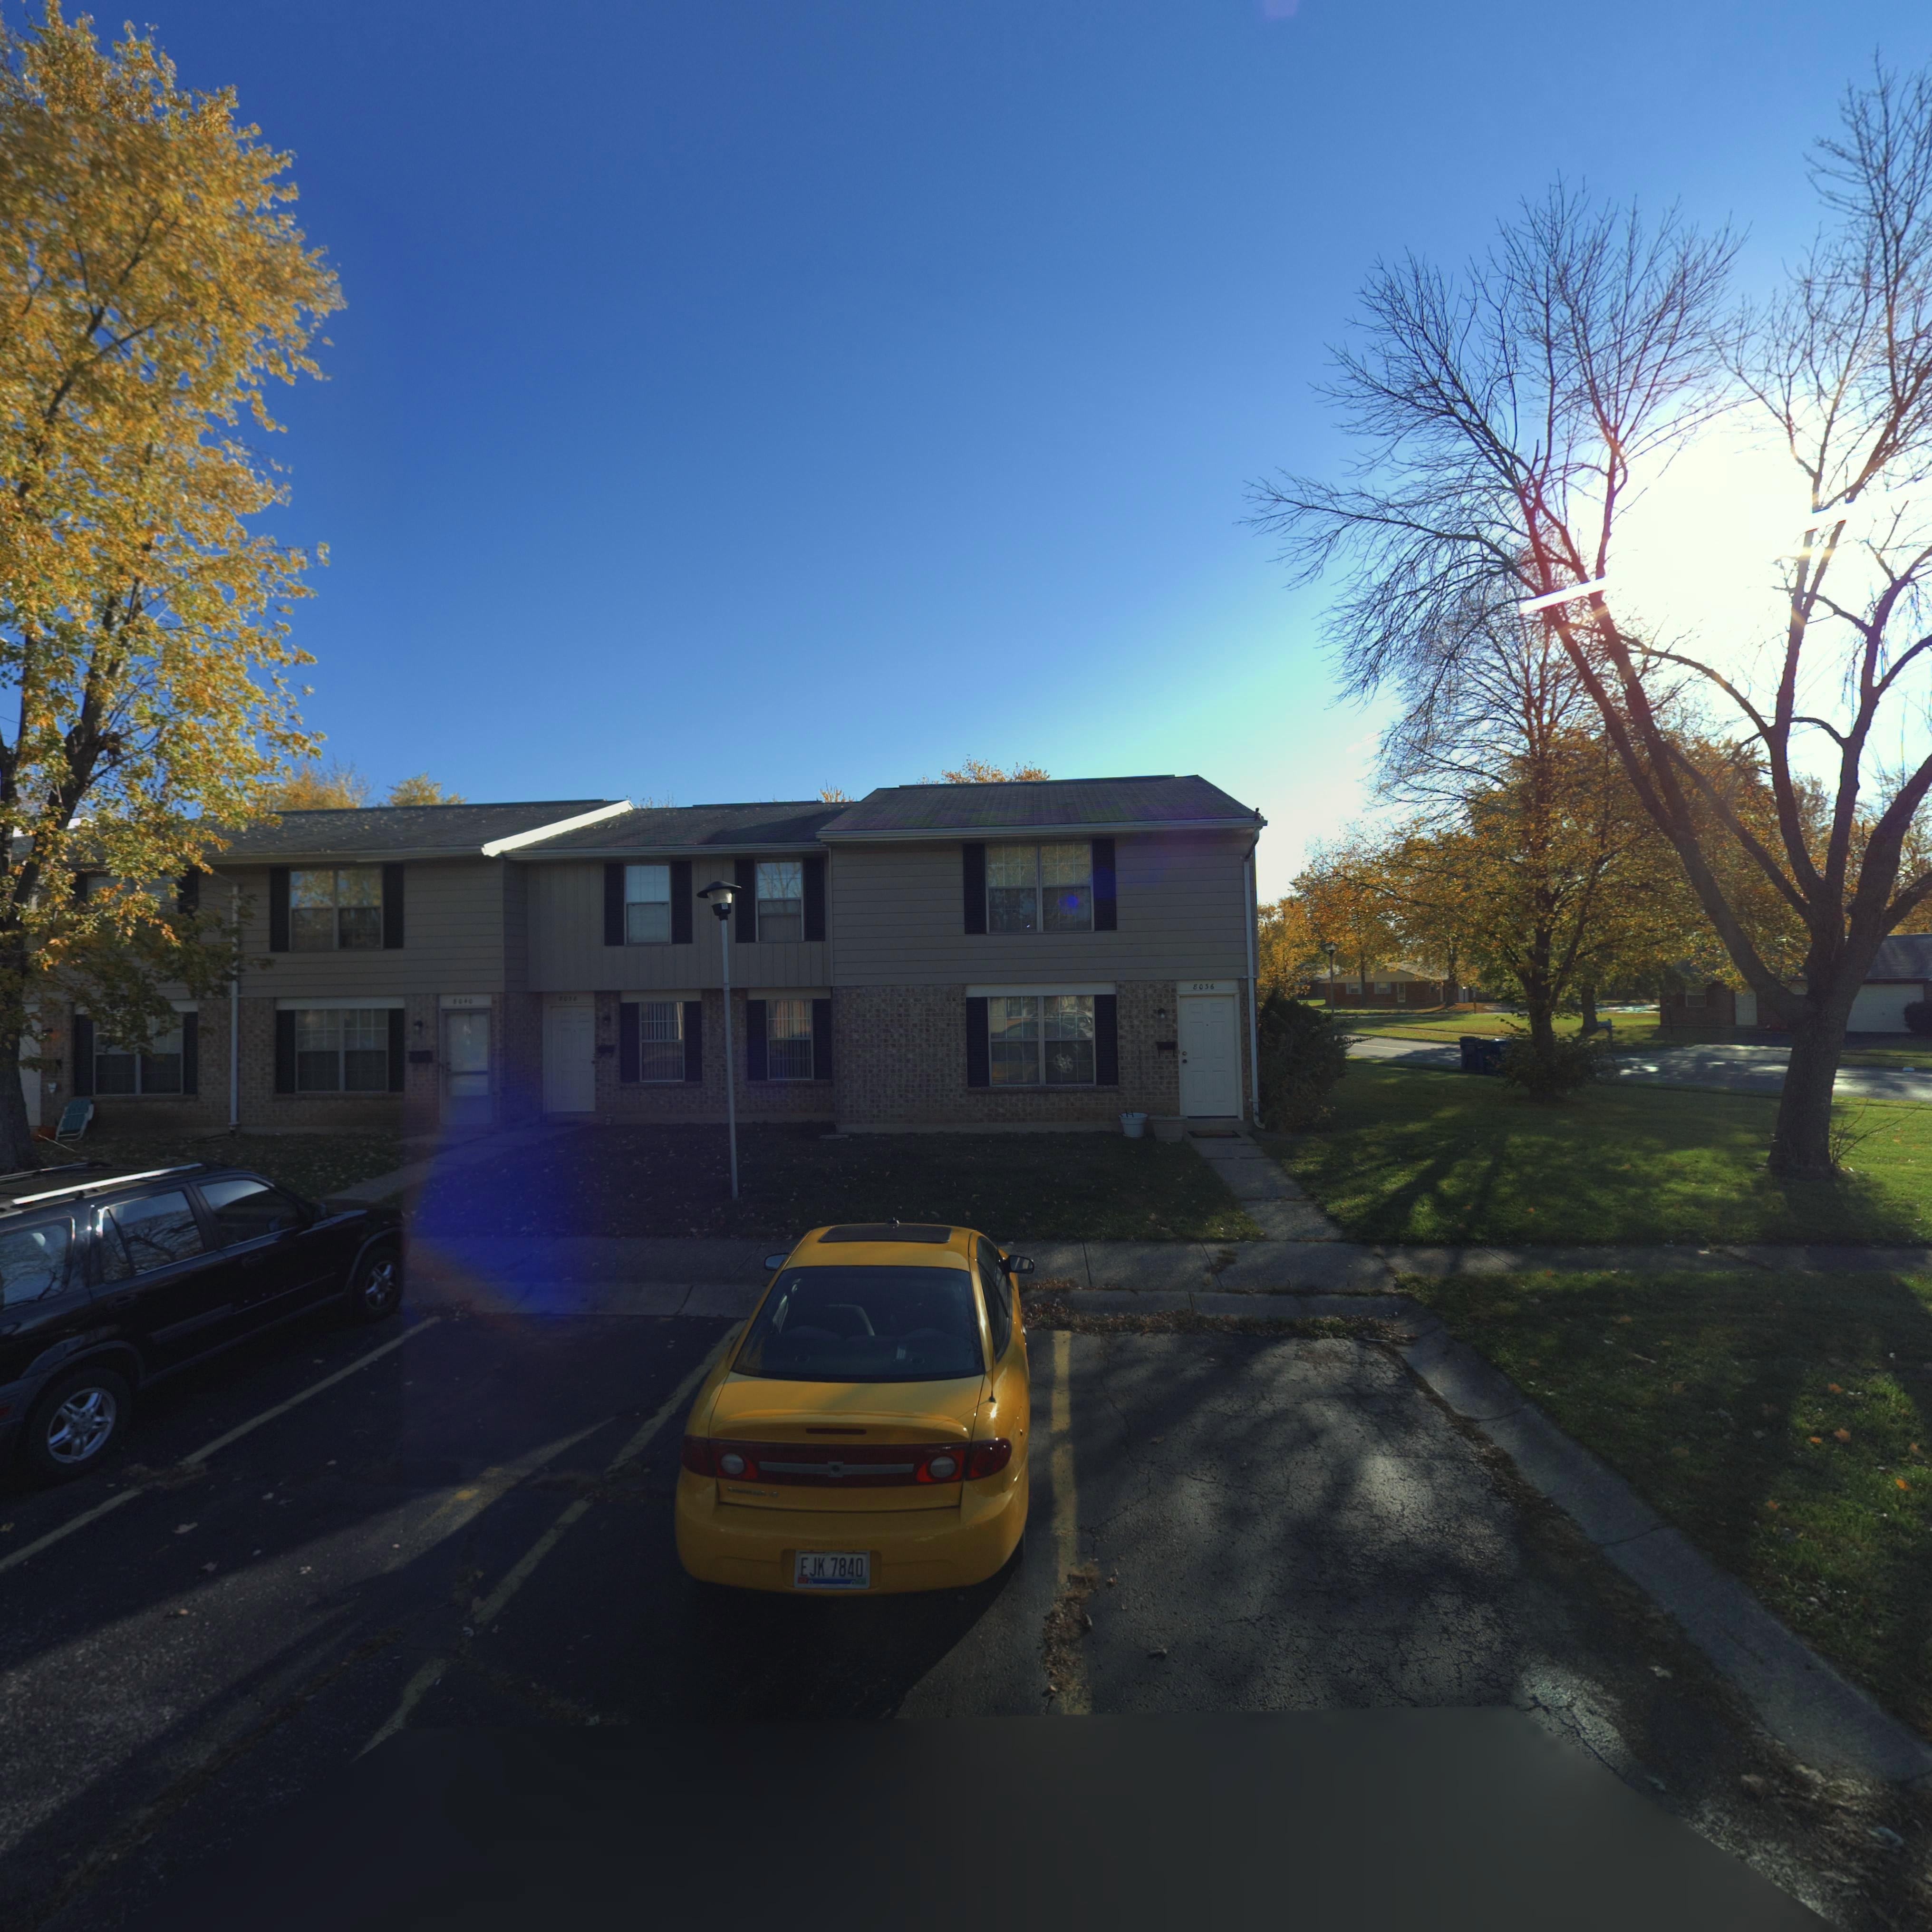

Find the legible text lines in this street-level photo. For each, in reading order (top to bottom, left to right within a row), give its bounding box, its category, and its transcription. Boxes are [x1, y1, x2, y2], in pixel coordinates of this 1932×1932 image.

[1192, 982, 1216, 991] StreetNumber: 8036
[451, 997, 475, 1006] StreetNumber: *0*0
[557, 995, 579, 1004] StreetNumber: *0**
[797, 1555, 866, 1580] None: EJK 7840